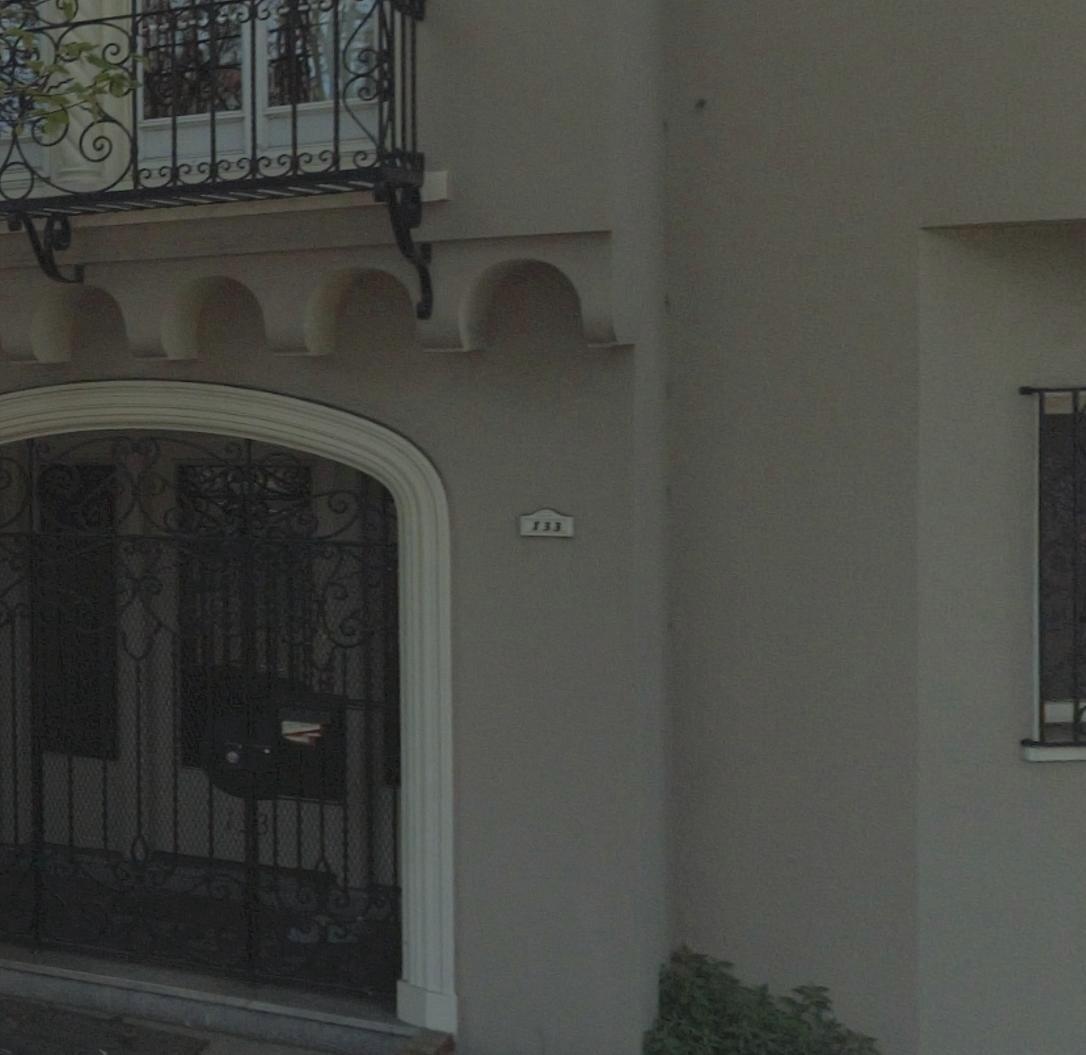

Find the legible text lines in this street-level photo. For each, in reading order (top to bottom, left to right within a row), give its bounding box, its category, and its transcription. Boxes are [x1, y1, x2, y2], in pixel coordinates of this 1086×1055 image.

[530, 519, 564, 534] StreetNumber: 133
[221, 808, 271, 838] StreetNumber: 1*3